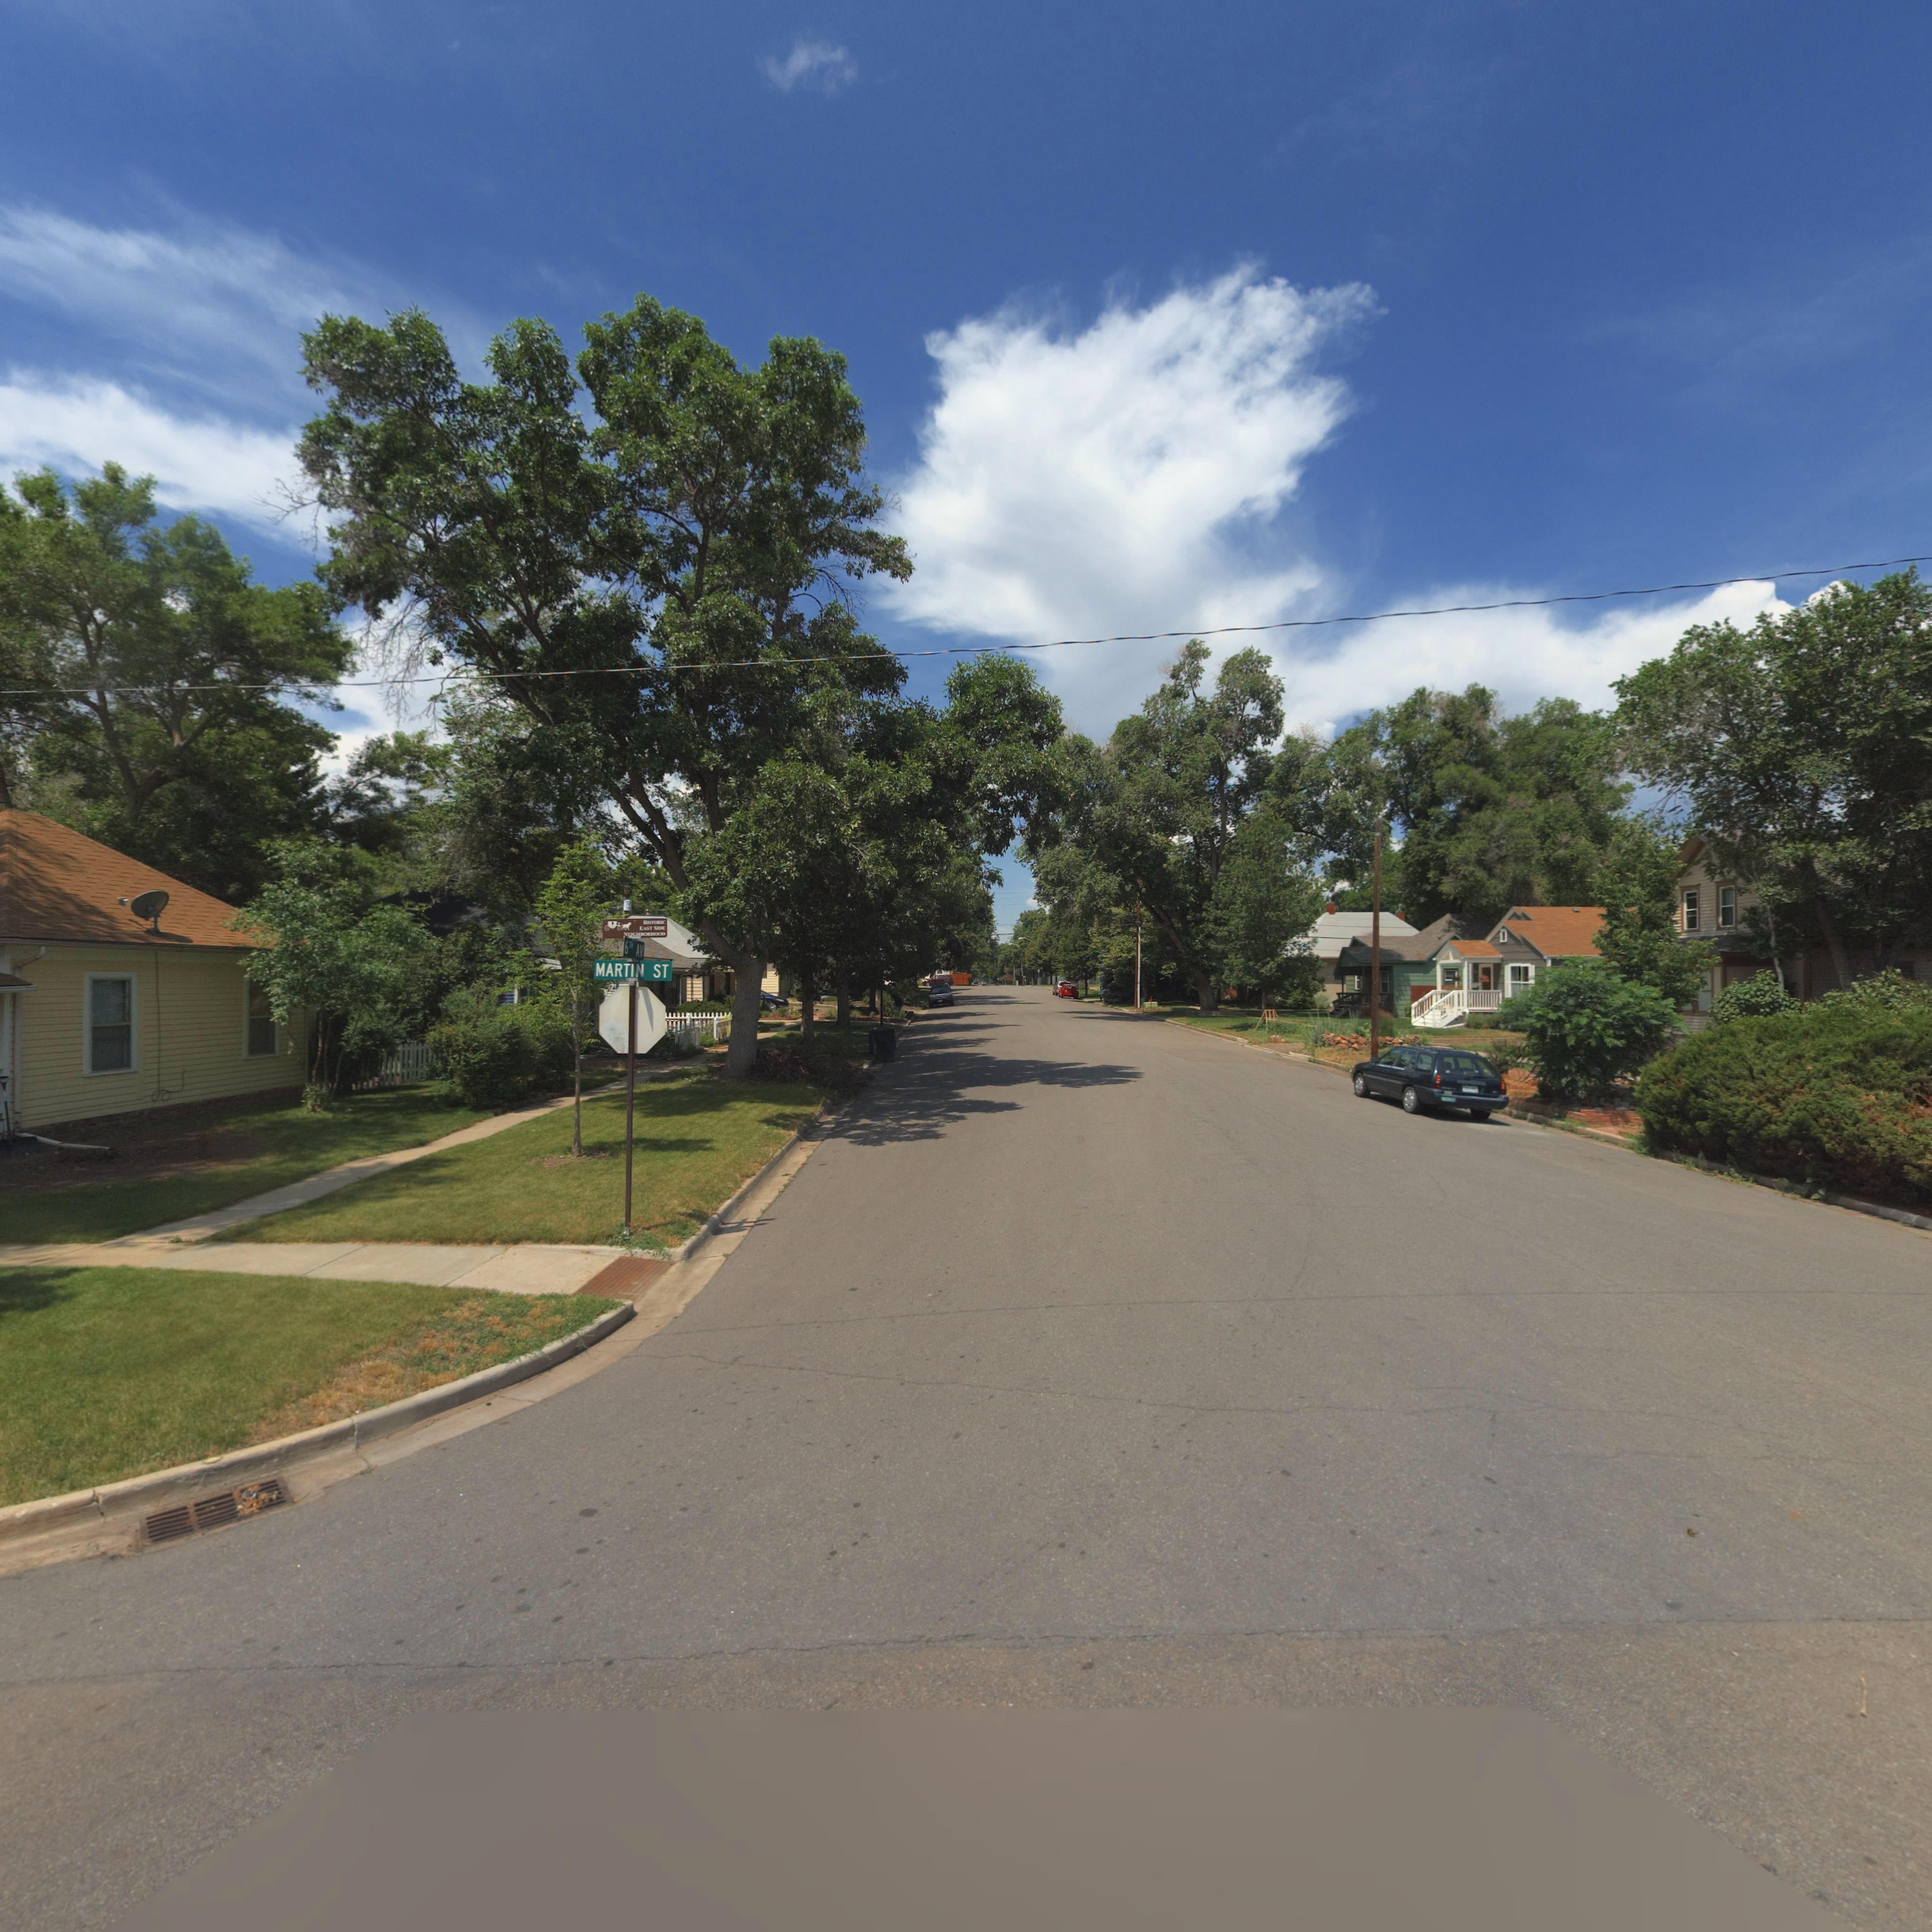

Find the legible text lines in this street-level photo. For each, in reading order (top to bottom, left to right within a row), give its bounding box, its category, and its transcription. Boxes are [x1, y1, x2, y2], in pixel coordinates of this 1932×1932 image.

[624, 940, 644, 958] StreetName: 6TH AV
[595, 963, 669, 979] StreetName: MARTIN ST